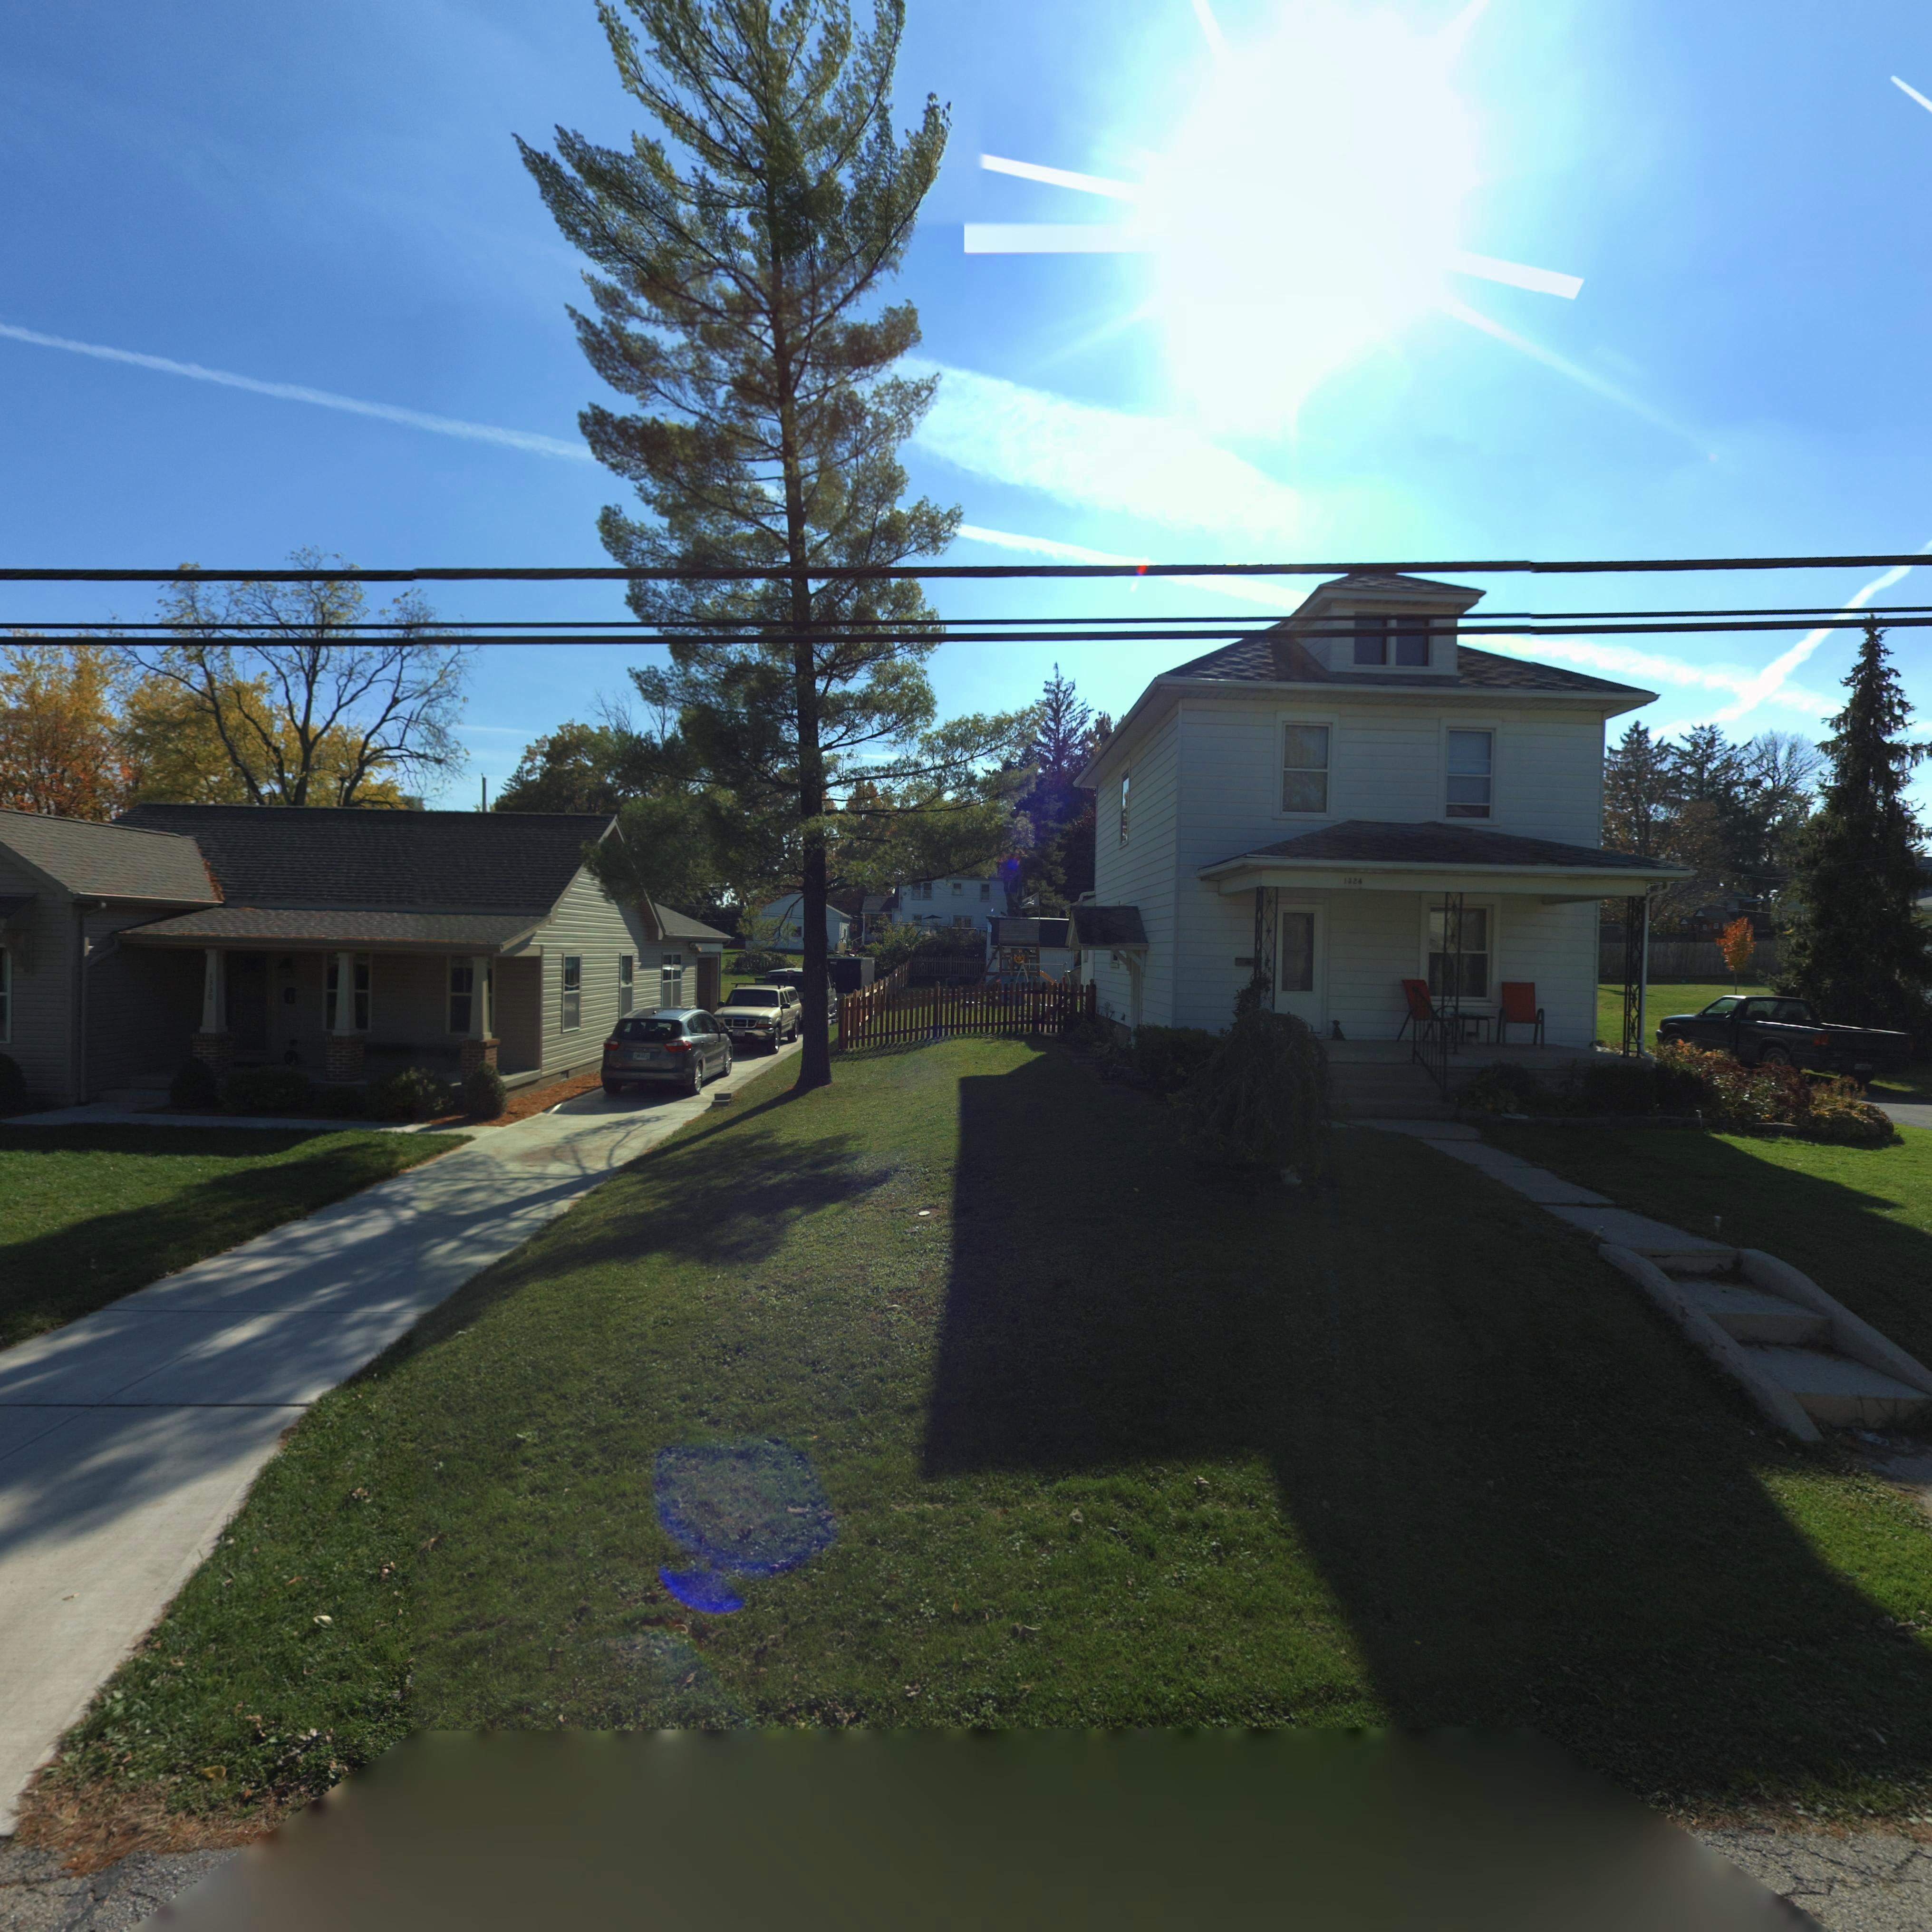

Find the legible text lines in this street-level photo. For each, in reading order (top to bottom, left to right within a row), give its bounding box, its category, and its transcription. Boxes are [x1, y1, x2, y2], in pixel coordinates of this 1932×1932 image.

[1343, 877, 1363, 885] StreetNumber: 1324
[207, 971, 214, 1001] StreetNumber: 1330